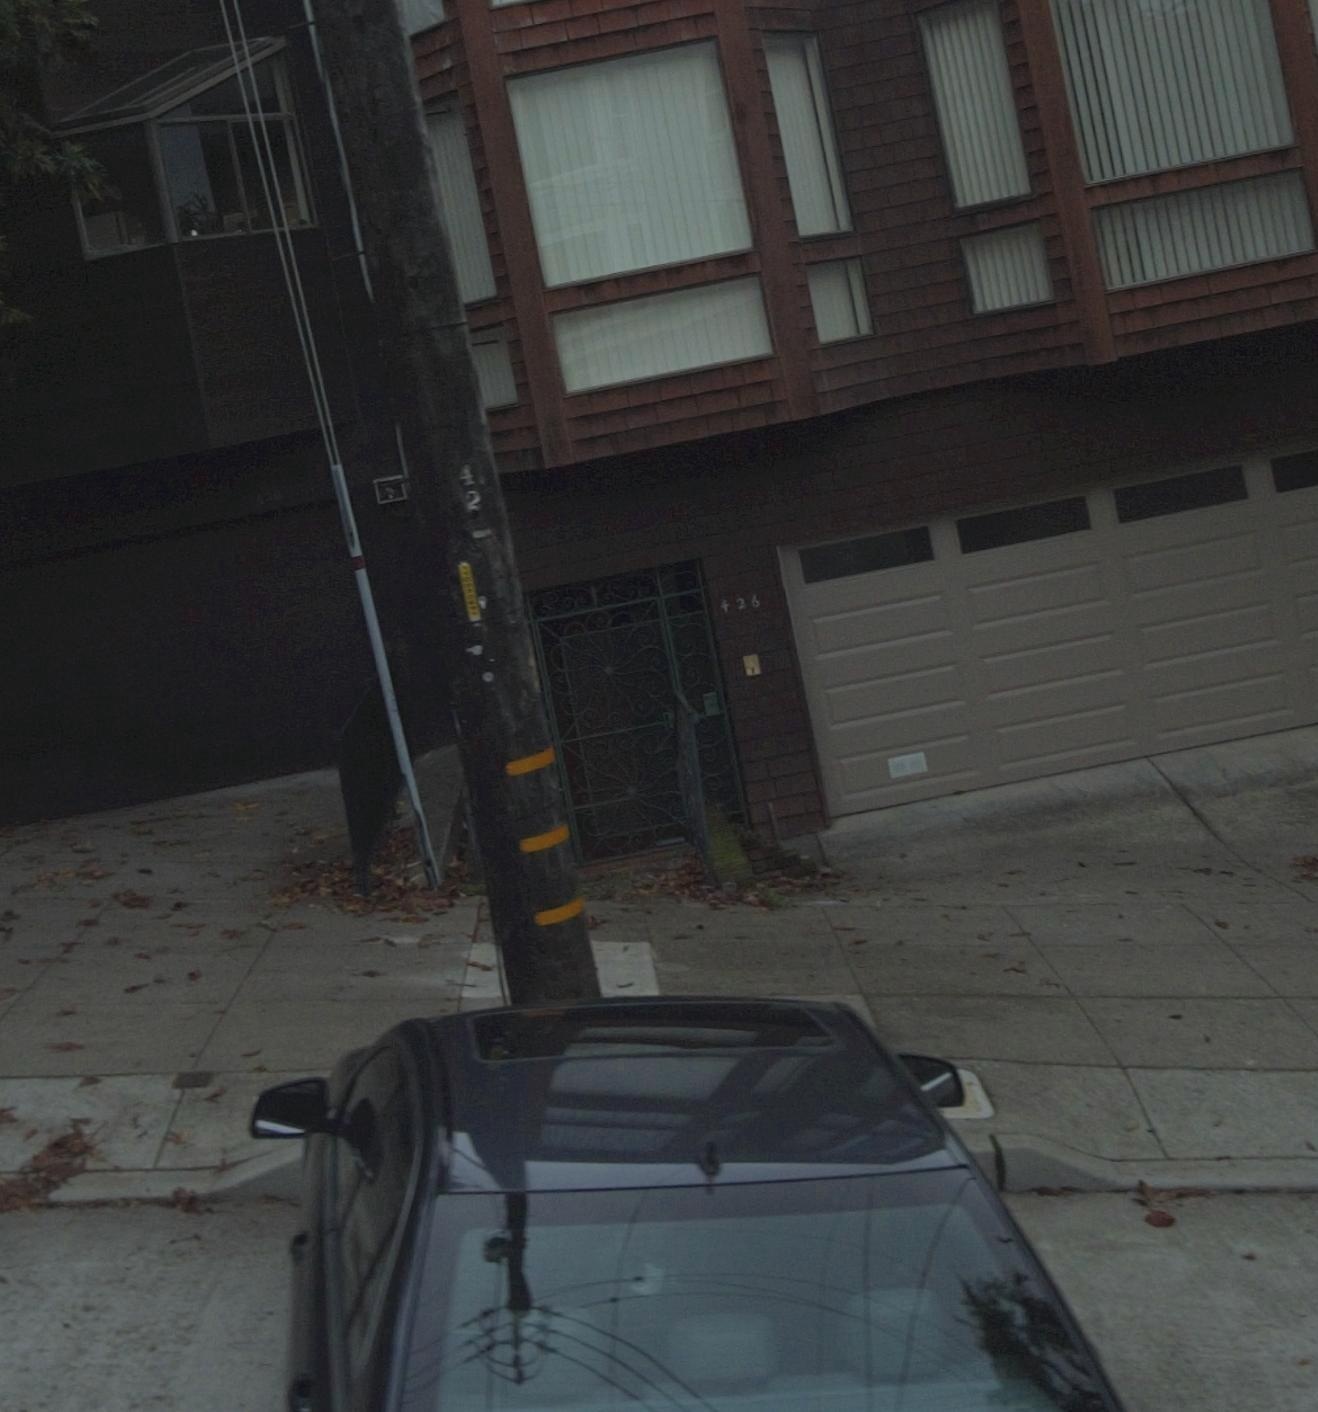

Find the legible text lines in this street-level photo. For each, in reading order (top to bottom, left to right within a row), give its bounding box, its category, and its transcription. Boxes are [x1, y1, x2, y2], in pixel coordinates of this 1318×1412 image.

[456, 461, 485, 514] None: 42
[717, 592, 763, 616] StreetNumber: 426